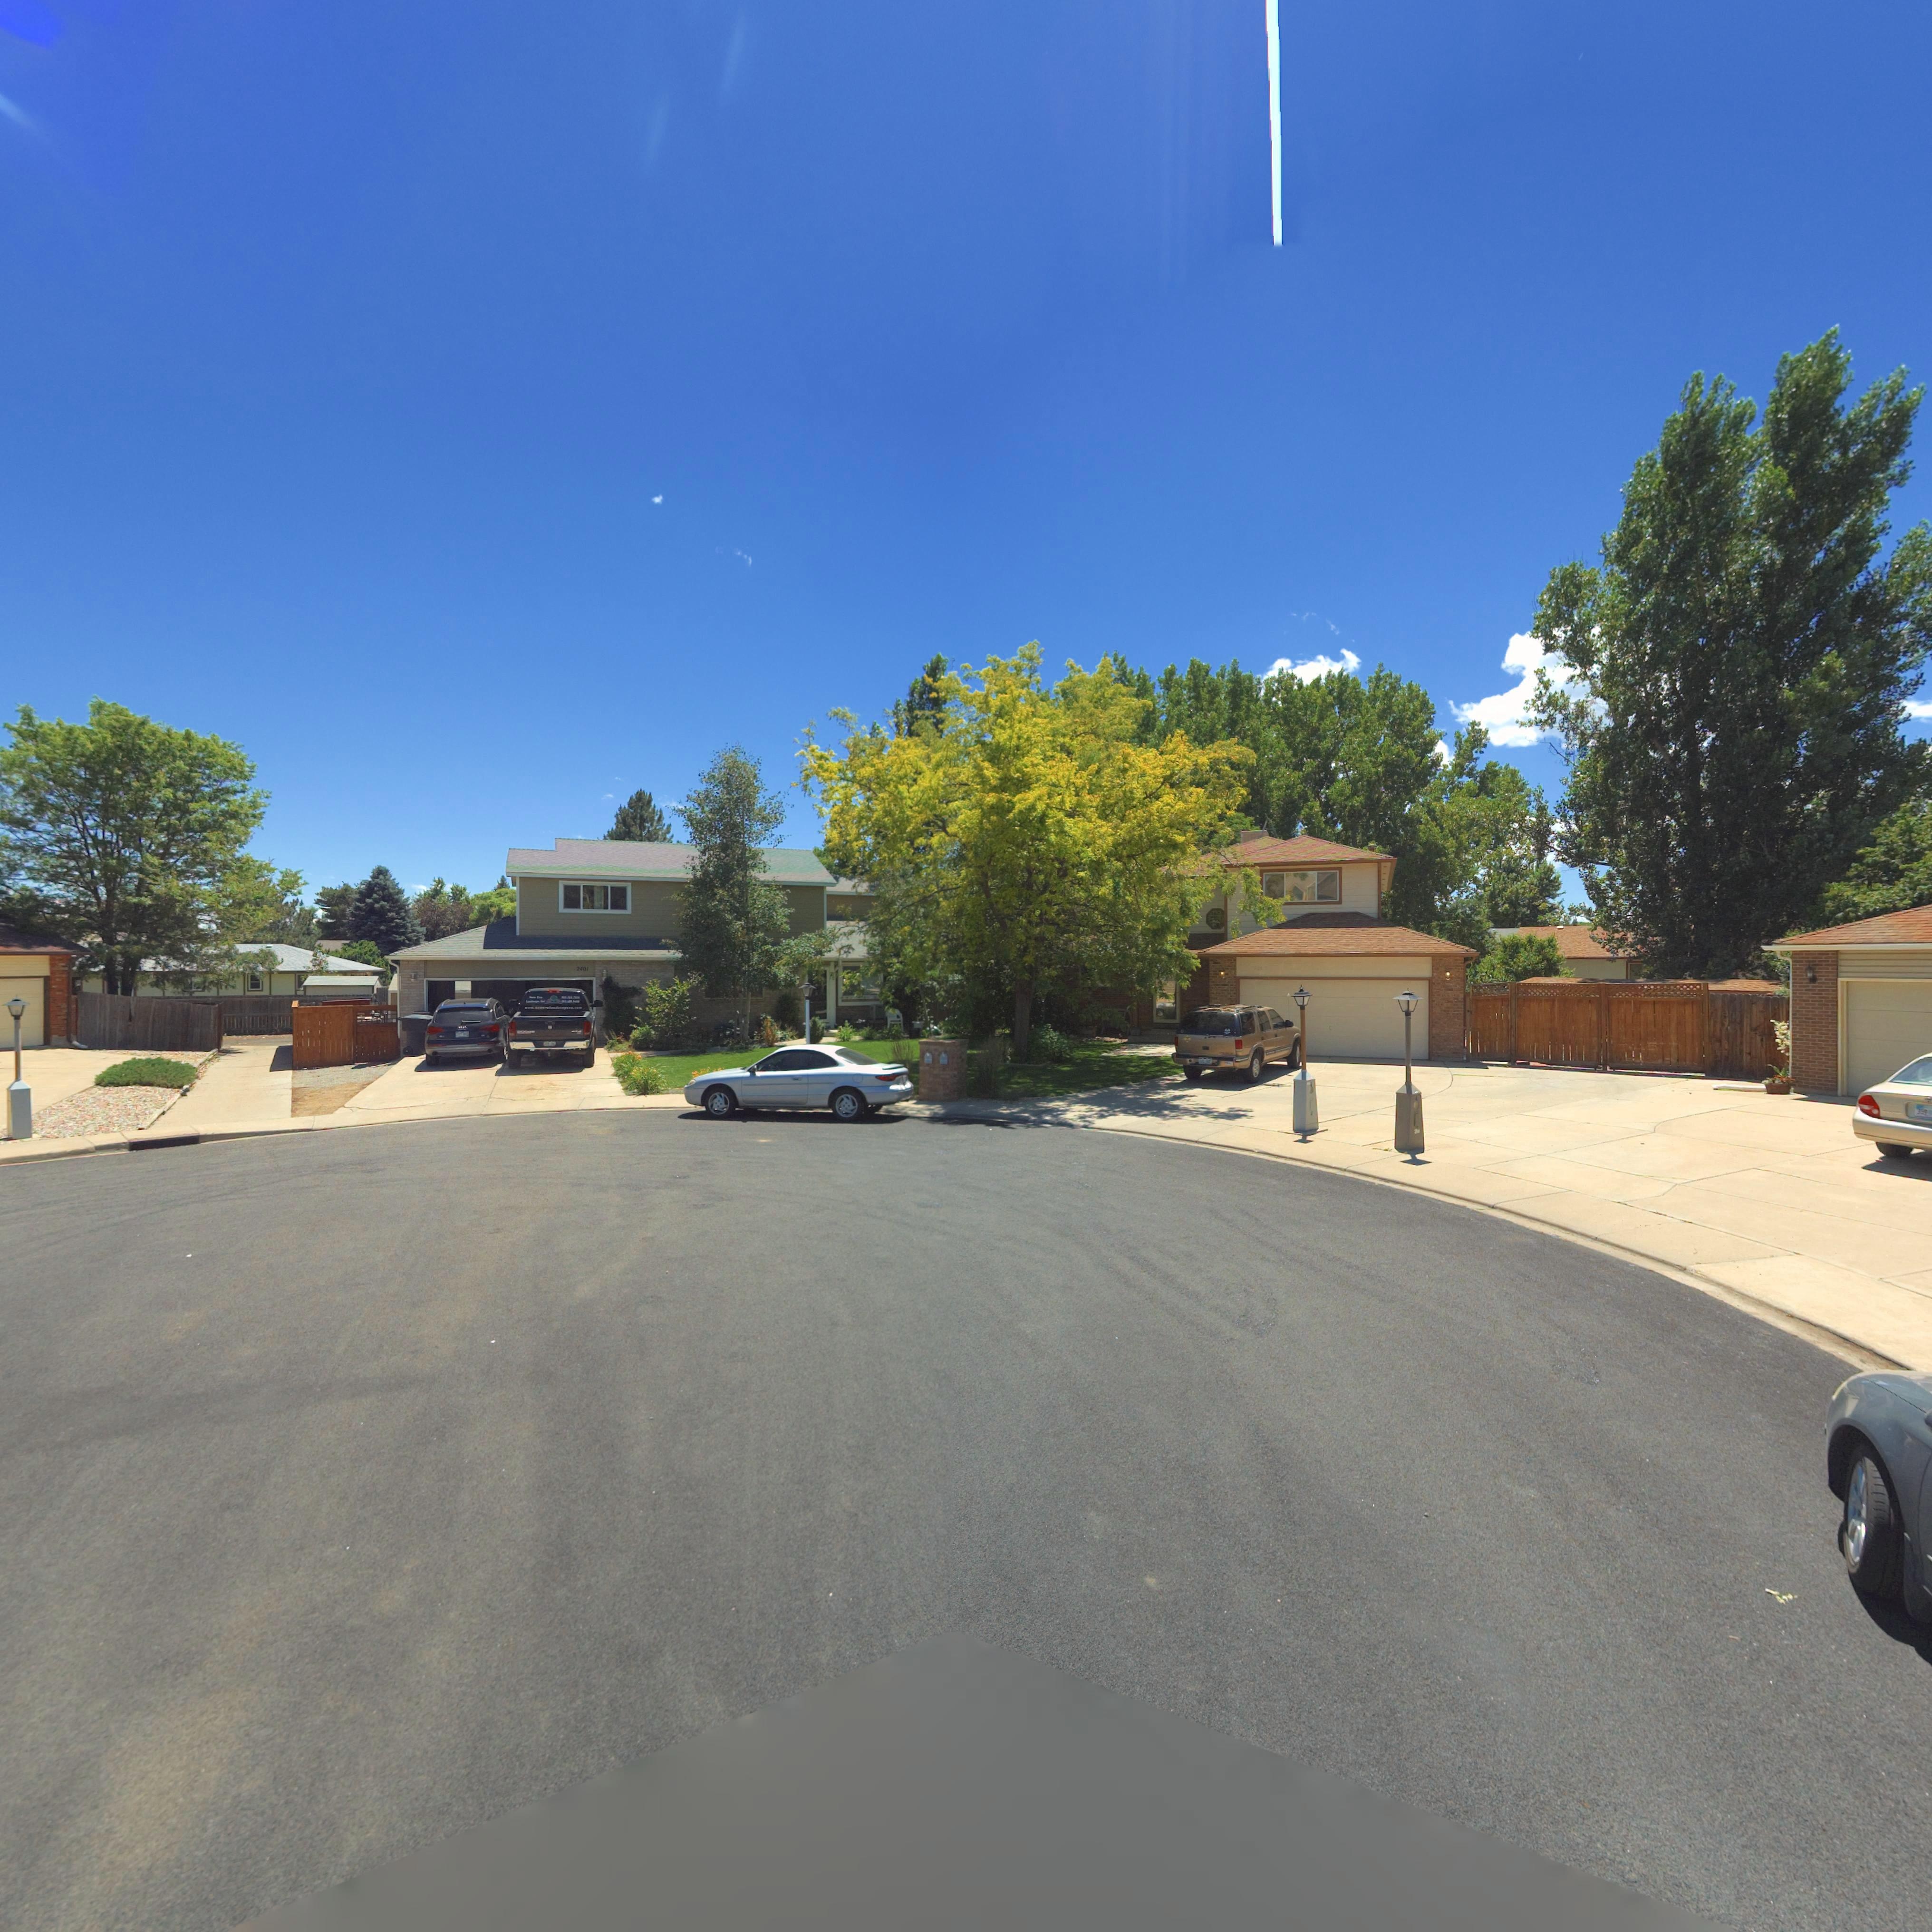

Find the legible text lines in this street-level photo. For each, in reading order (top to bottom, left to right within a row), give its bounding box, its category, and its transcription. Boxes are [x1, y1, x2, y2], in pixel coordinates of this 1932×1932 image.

[577, 966, 589, 971] StreetNumber: 2401
[1252, 965, 1263, 971] StreetNumber: **03